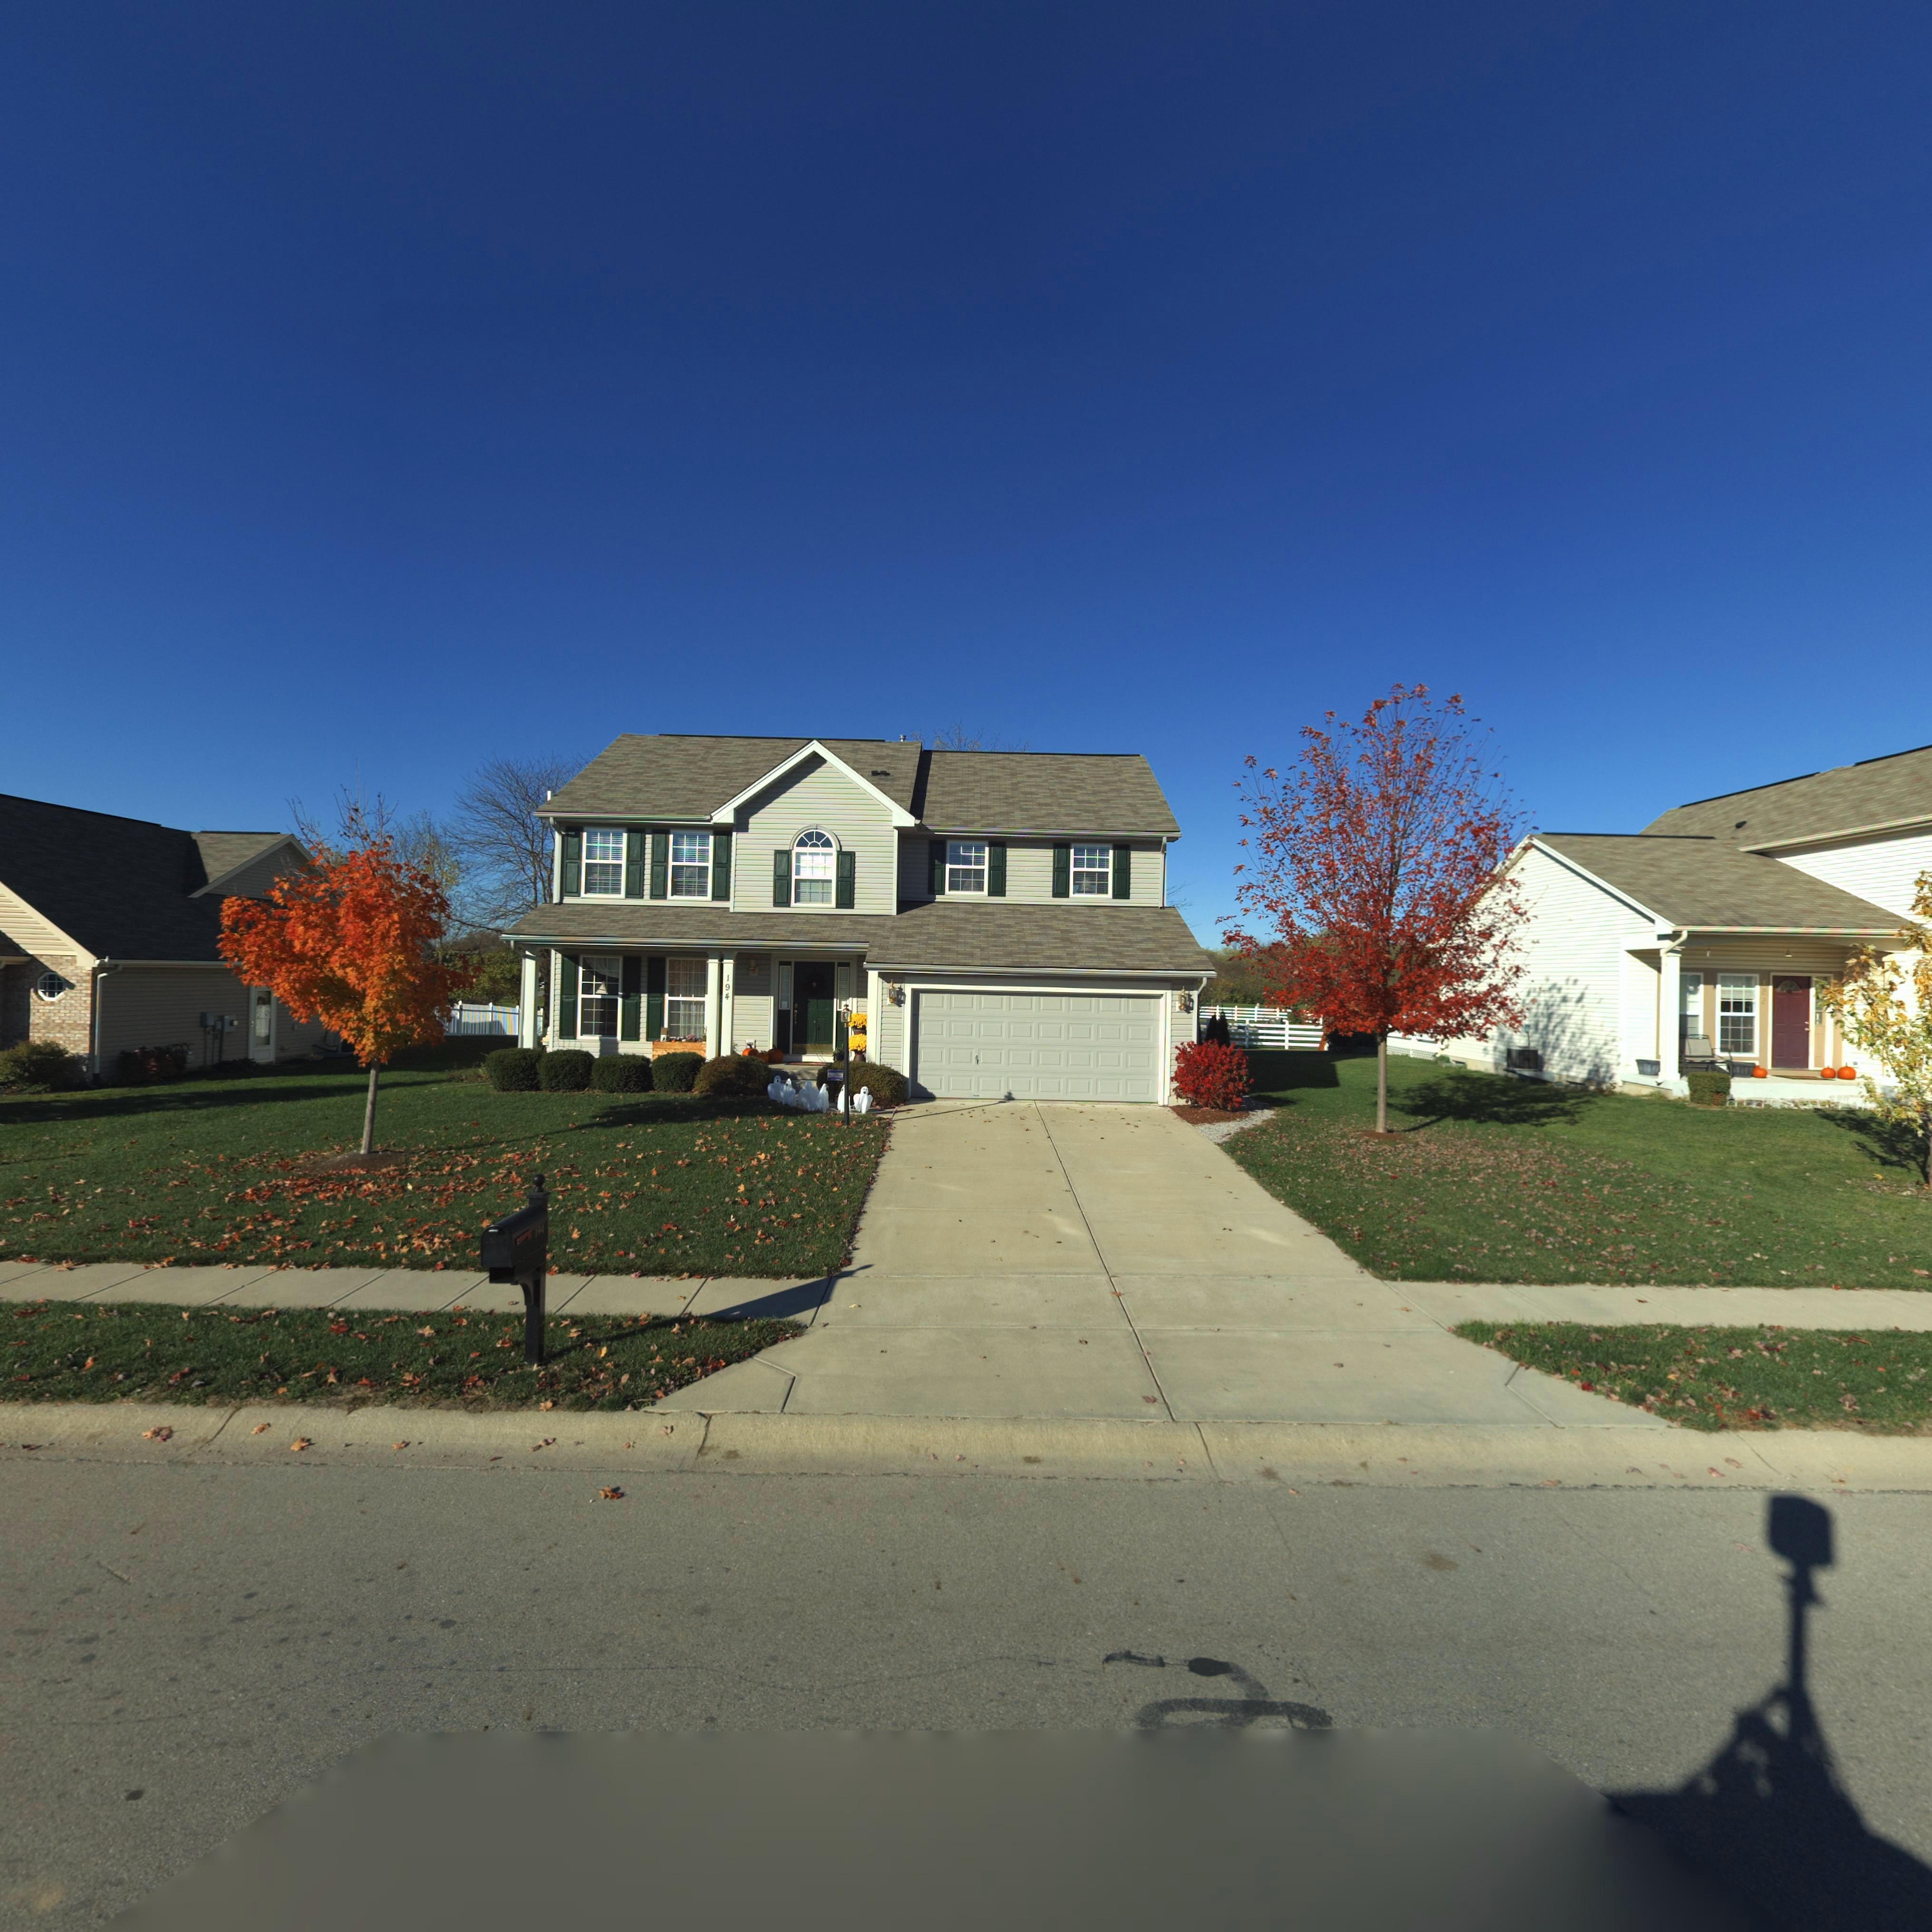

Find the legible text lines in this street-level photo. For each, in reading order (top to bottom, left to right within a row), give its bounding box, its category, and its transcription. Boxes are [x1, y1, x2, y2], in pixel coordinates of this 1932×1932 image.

[724, 974, 731, 1001] StreetNumber: 194
[534, 1223, 546, 1239] StreetNumber: 194